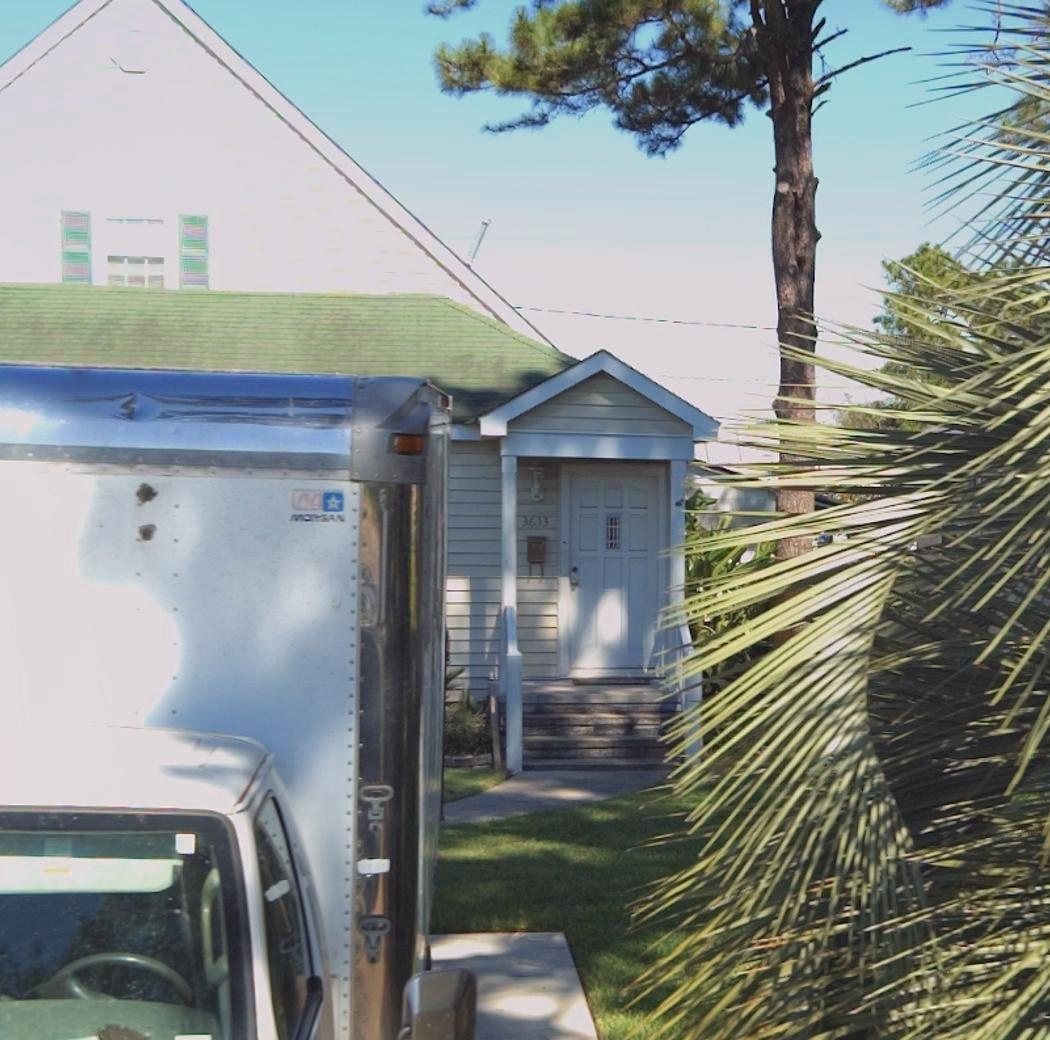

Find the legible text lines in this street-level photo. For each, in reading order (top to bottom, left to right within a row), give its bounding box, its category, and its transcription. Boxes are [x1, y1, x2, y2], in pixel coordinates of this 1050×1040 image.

[287, 512, 348, 523] None: MORGAN
[521, 515, 551, 528] StreetNumber: 3633